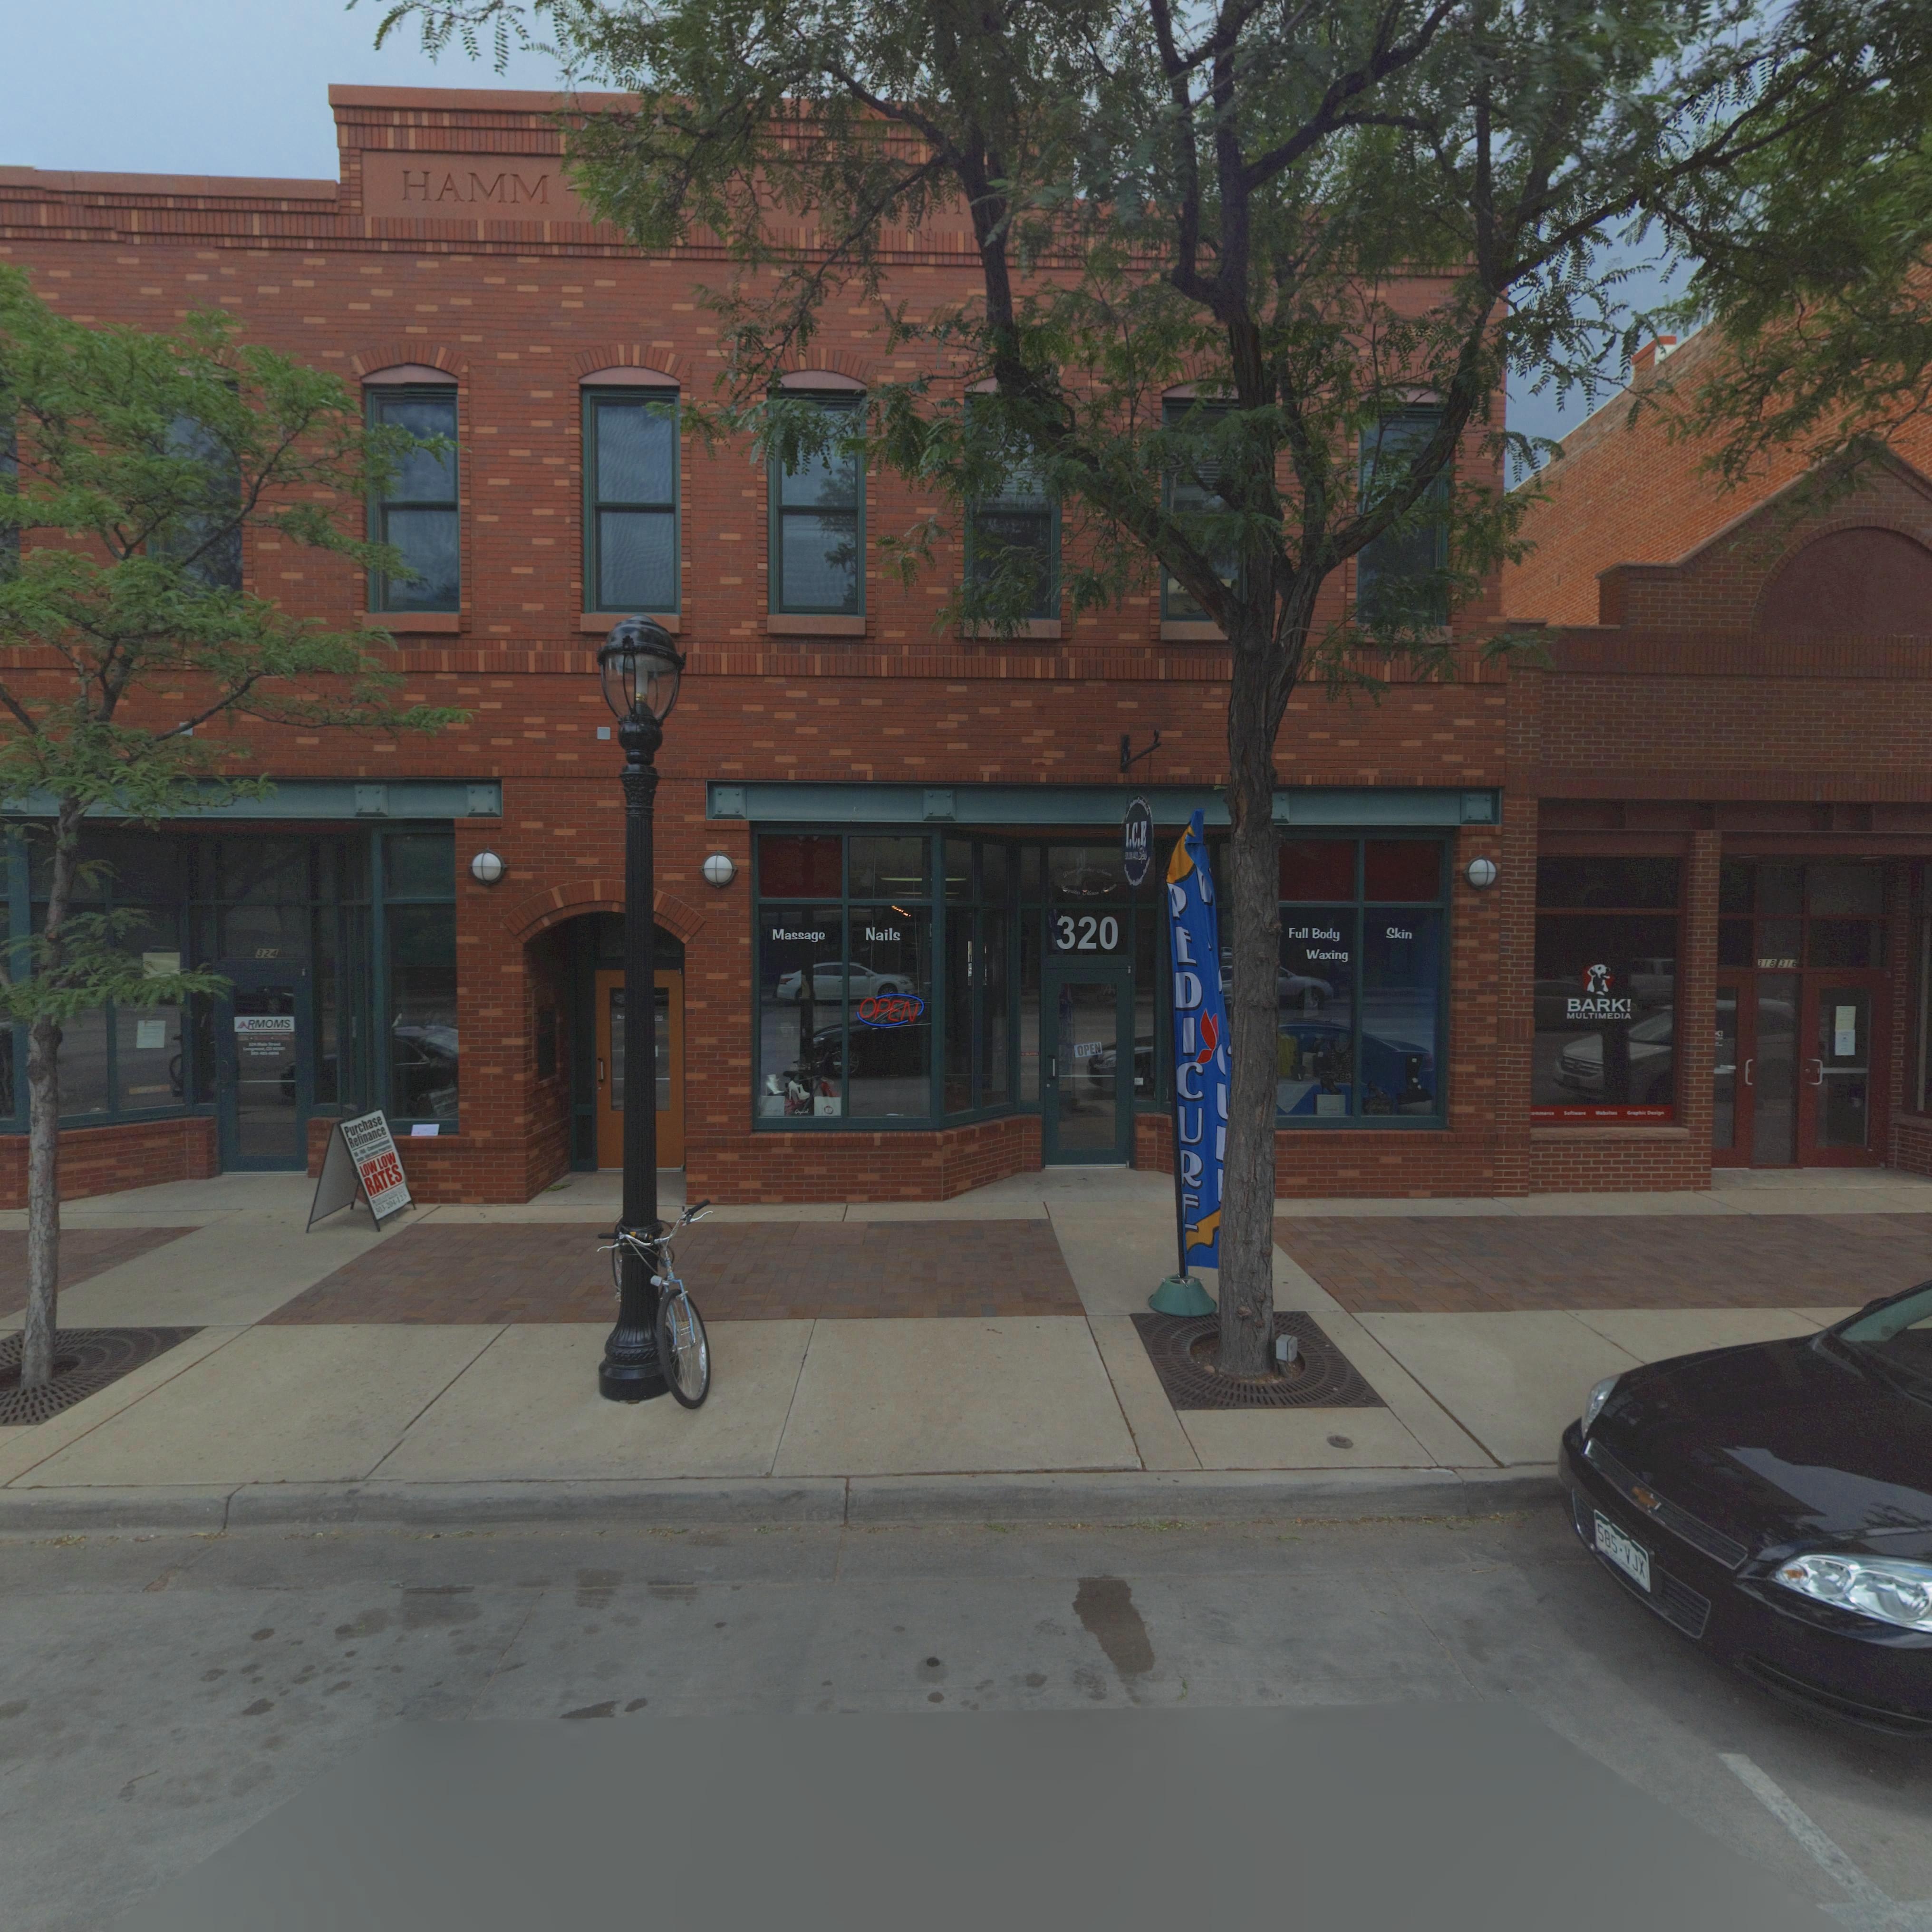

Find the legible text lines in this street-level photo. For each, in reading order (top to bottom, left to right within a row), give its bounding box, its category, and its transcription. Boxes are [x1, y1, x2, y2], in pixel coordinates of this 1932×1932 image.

[1125, 821, 1147, 848] BusinessName: I.C.E
[1137, 847, 1147, 864] BusinessName: Sp*
[1055, 915, 1119, 950] StreetNumber: 320
[256, 948, 278, 957] StreetNumber: 324
[1756, 959, 1776, 967] StreetNumber: 318
[1777, 959, 1797, 967] StreetNumber: 31*
[1567, 998, 1632, 1012] BusinessName: BARK!
[1566, 1012, 1633, 1019] BusinessName: MULTIMEDIA
[247, 1019, 290, 1029] BusinessName: RMOMS
[1714, 1030, 1723, 1036] BusinessName: ***K!